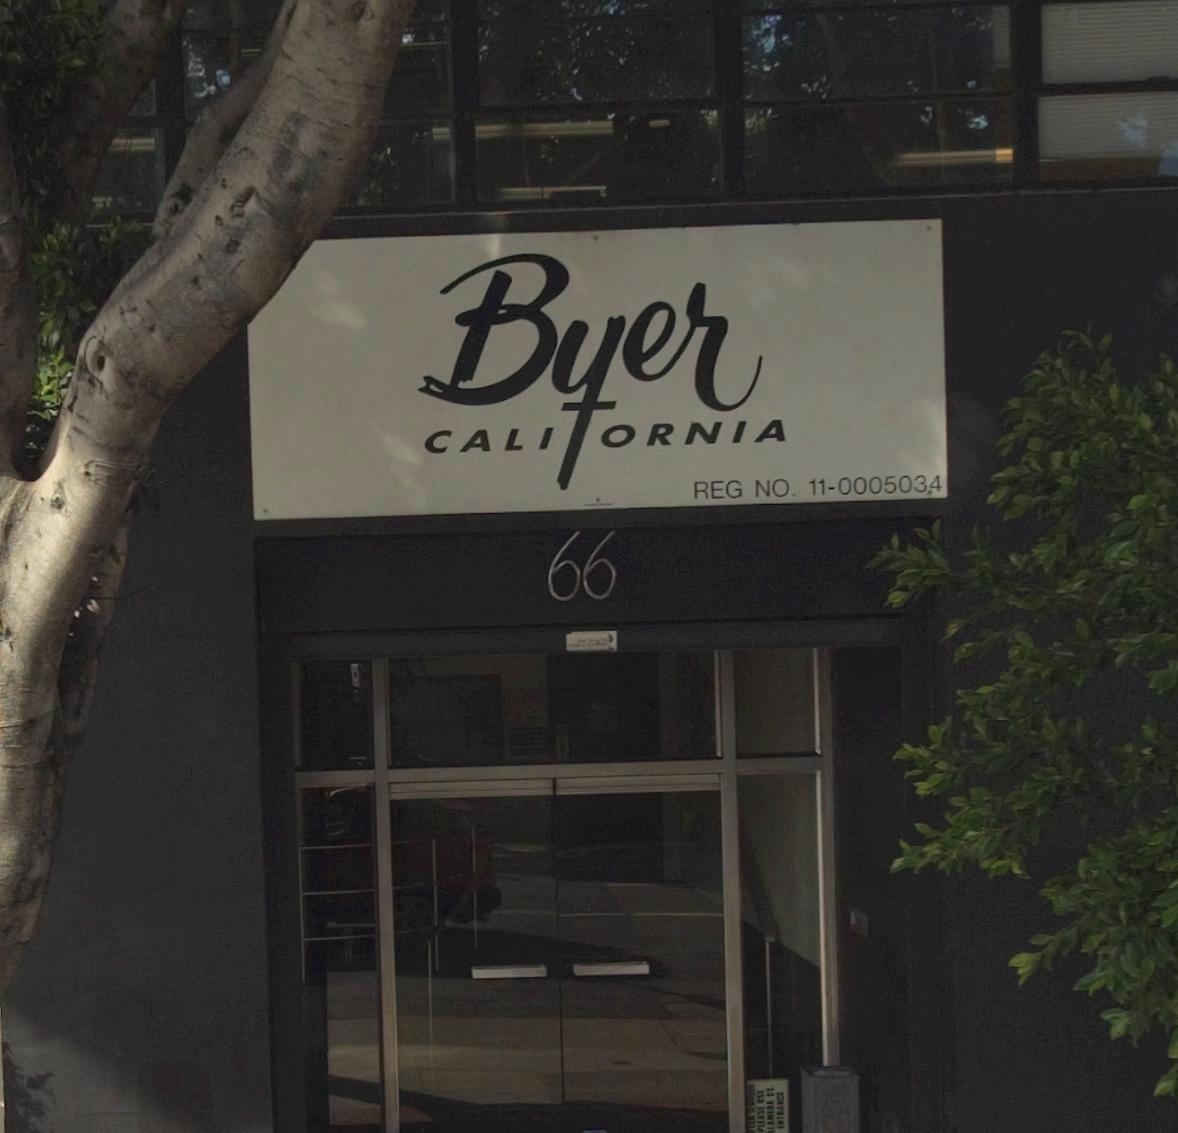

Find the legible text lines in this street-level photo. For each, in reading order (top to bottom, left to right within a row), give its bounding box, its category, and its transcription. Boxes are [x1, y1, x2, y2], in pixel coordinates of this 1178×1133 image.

[409, 241, 771, 502] BusinessName: Byer
[418, 414, 791, 461] BusinessName: CALI*ORNIA
[690, 471, 946, 503] None: REG NO. 11-0005034
[545, 527, 620, 604] StreetNumber: 66